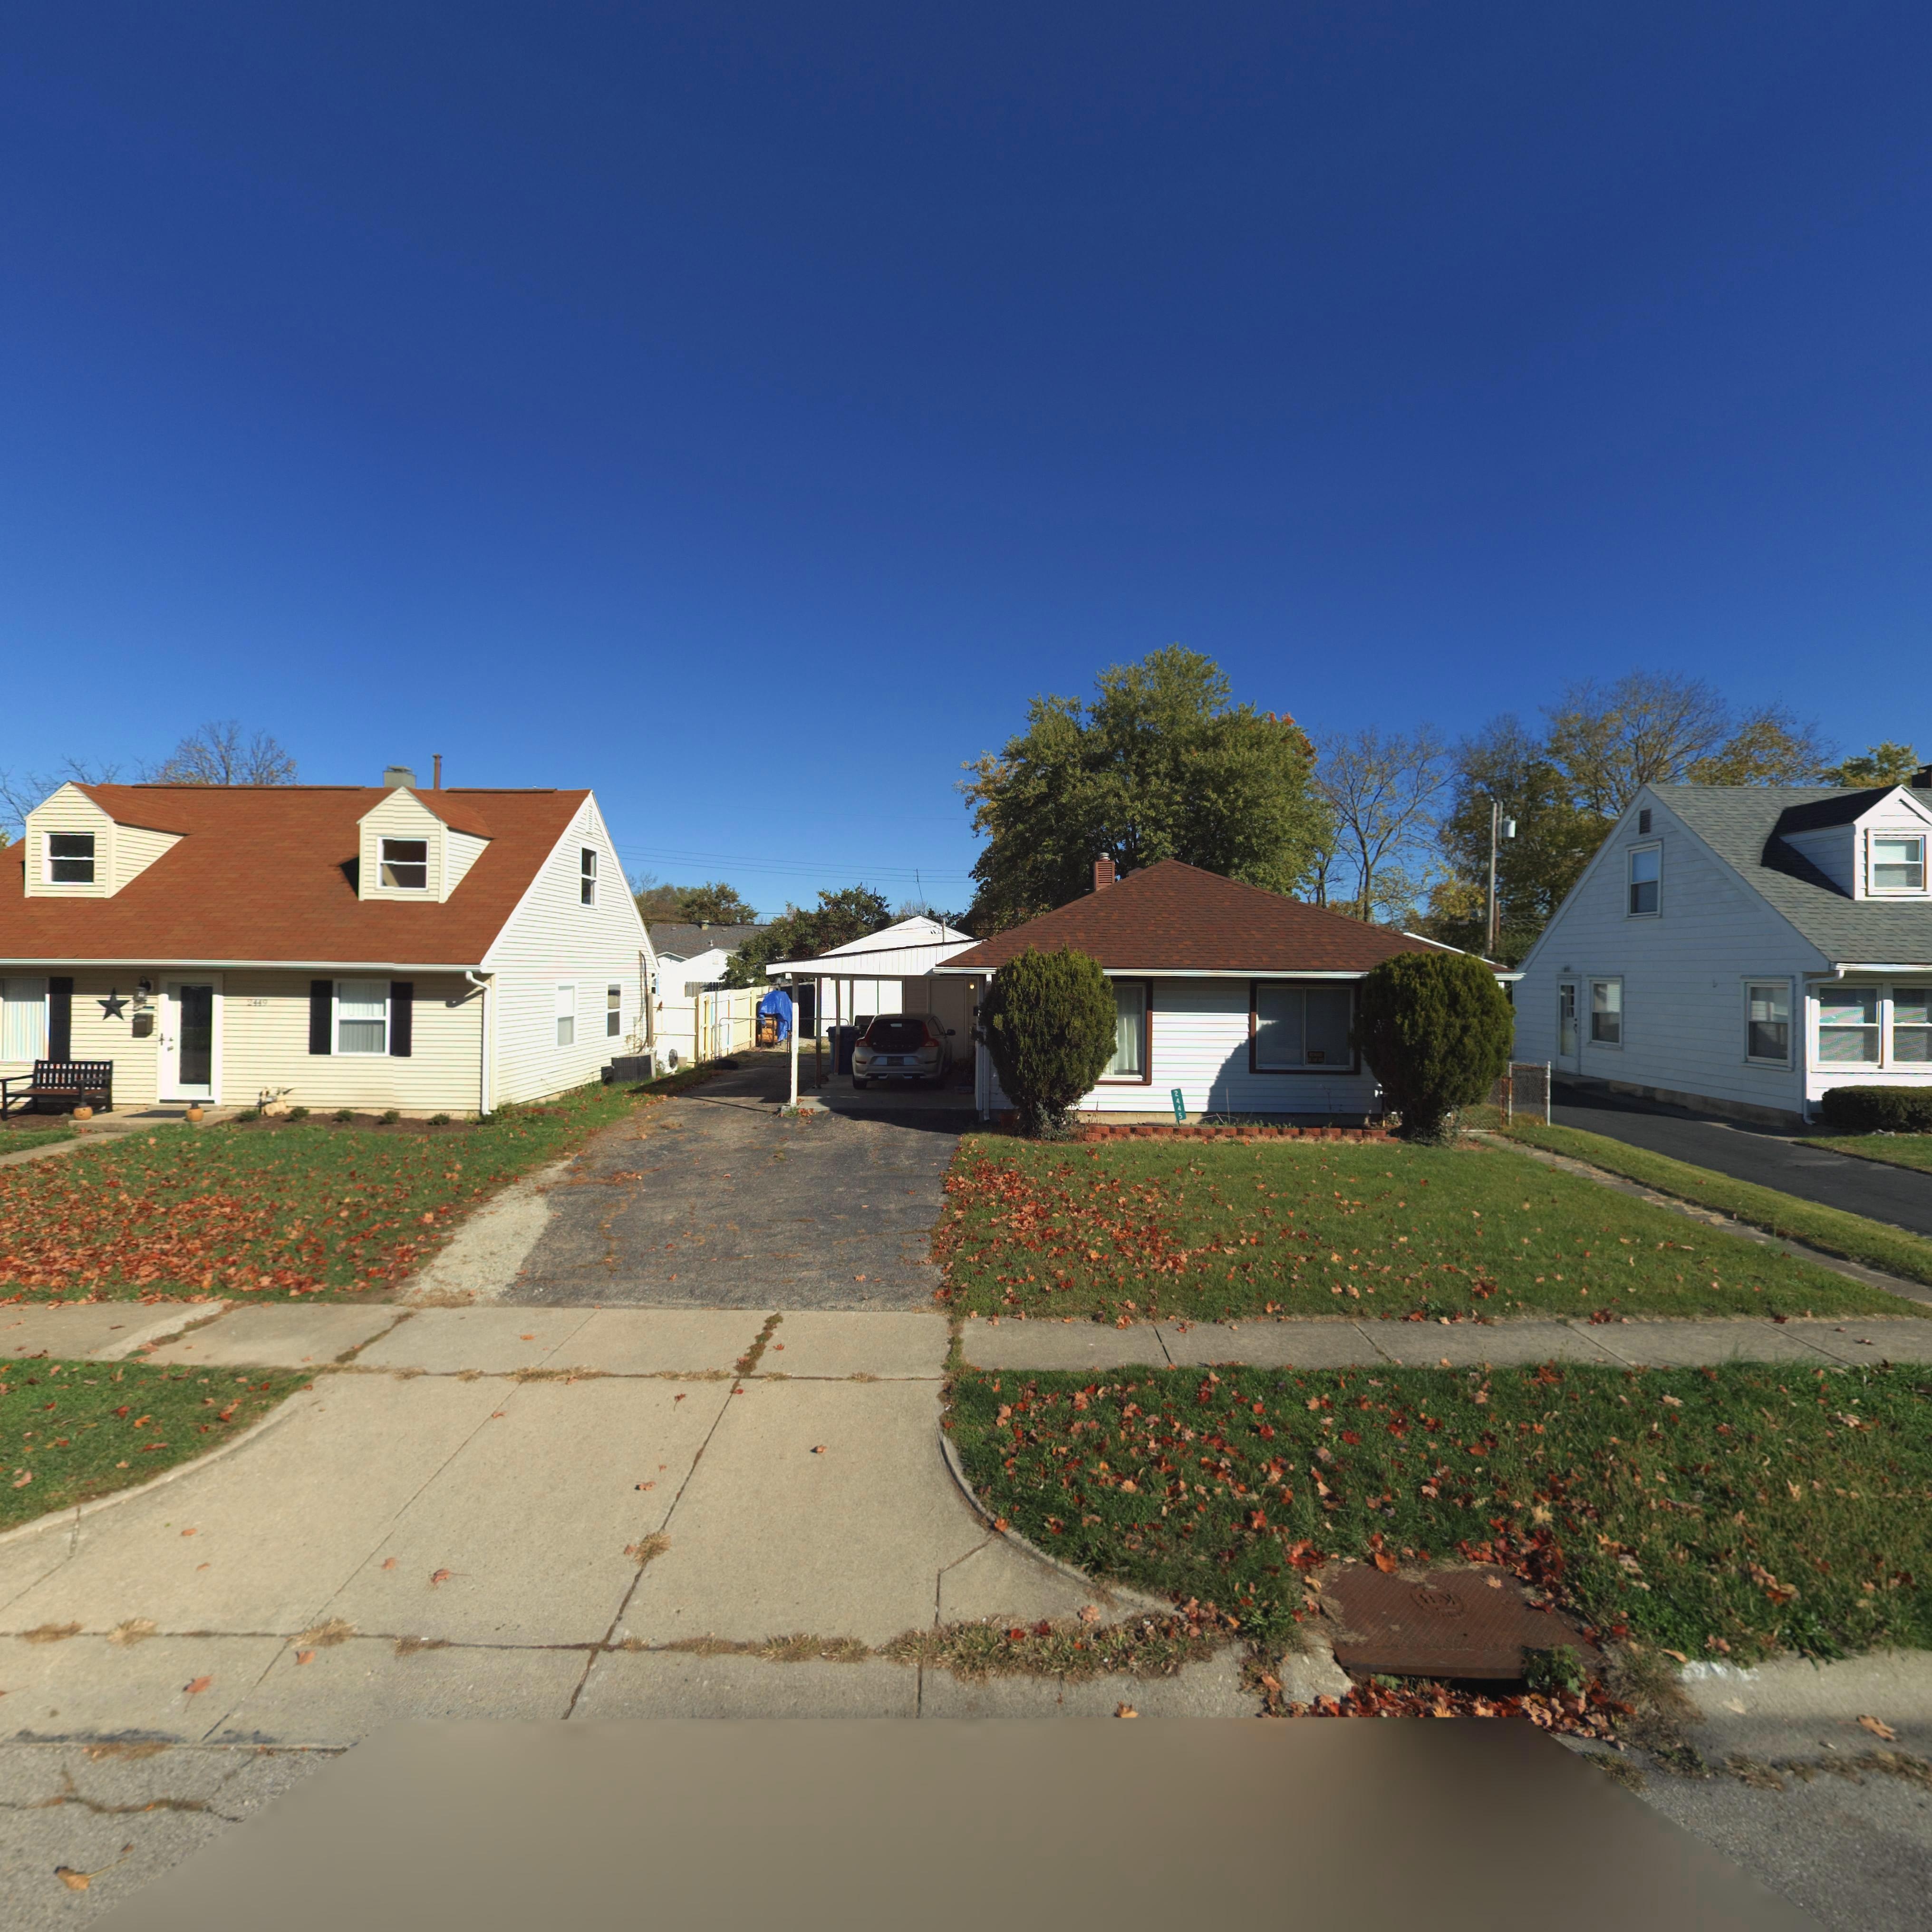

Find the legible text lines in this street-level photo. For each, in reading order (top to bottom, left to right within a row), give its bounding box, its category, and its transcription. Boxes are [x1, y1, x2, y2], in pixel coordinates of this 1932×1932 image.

[246, 999, 268, 1007] StreetNumber: 2449
[1173, 1089, 1184, 1120] StreetNumber: 2445